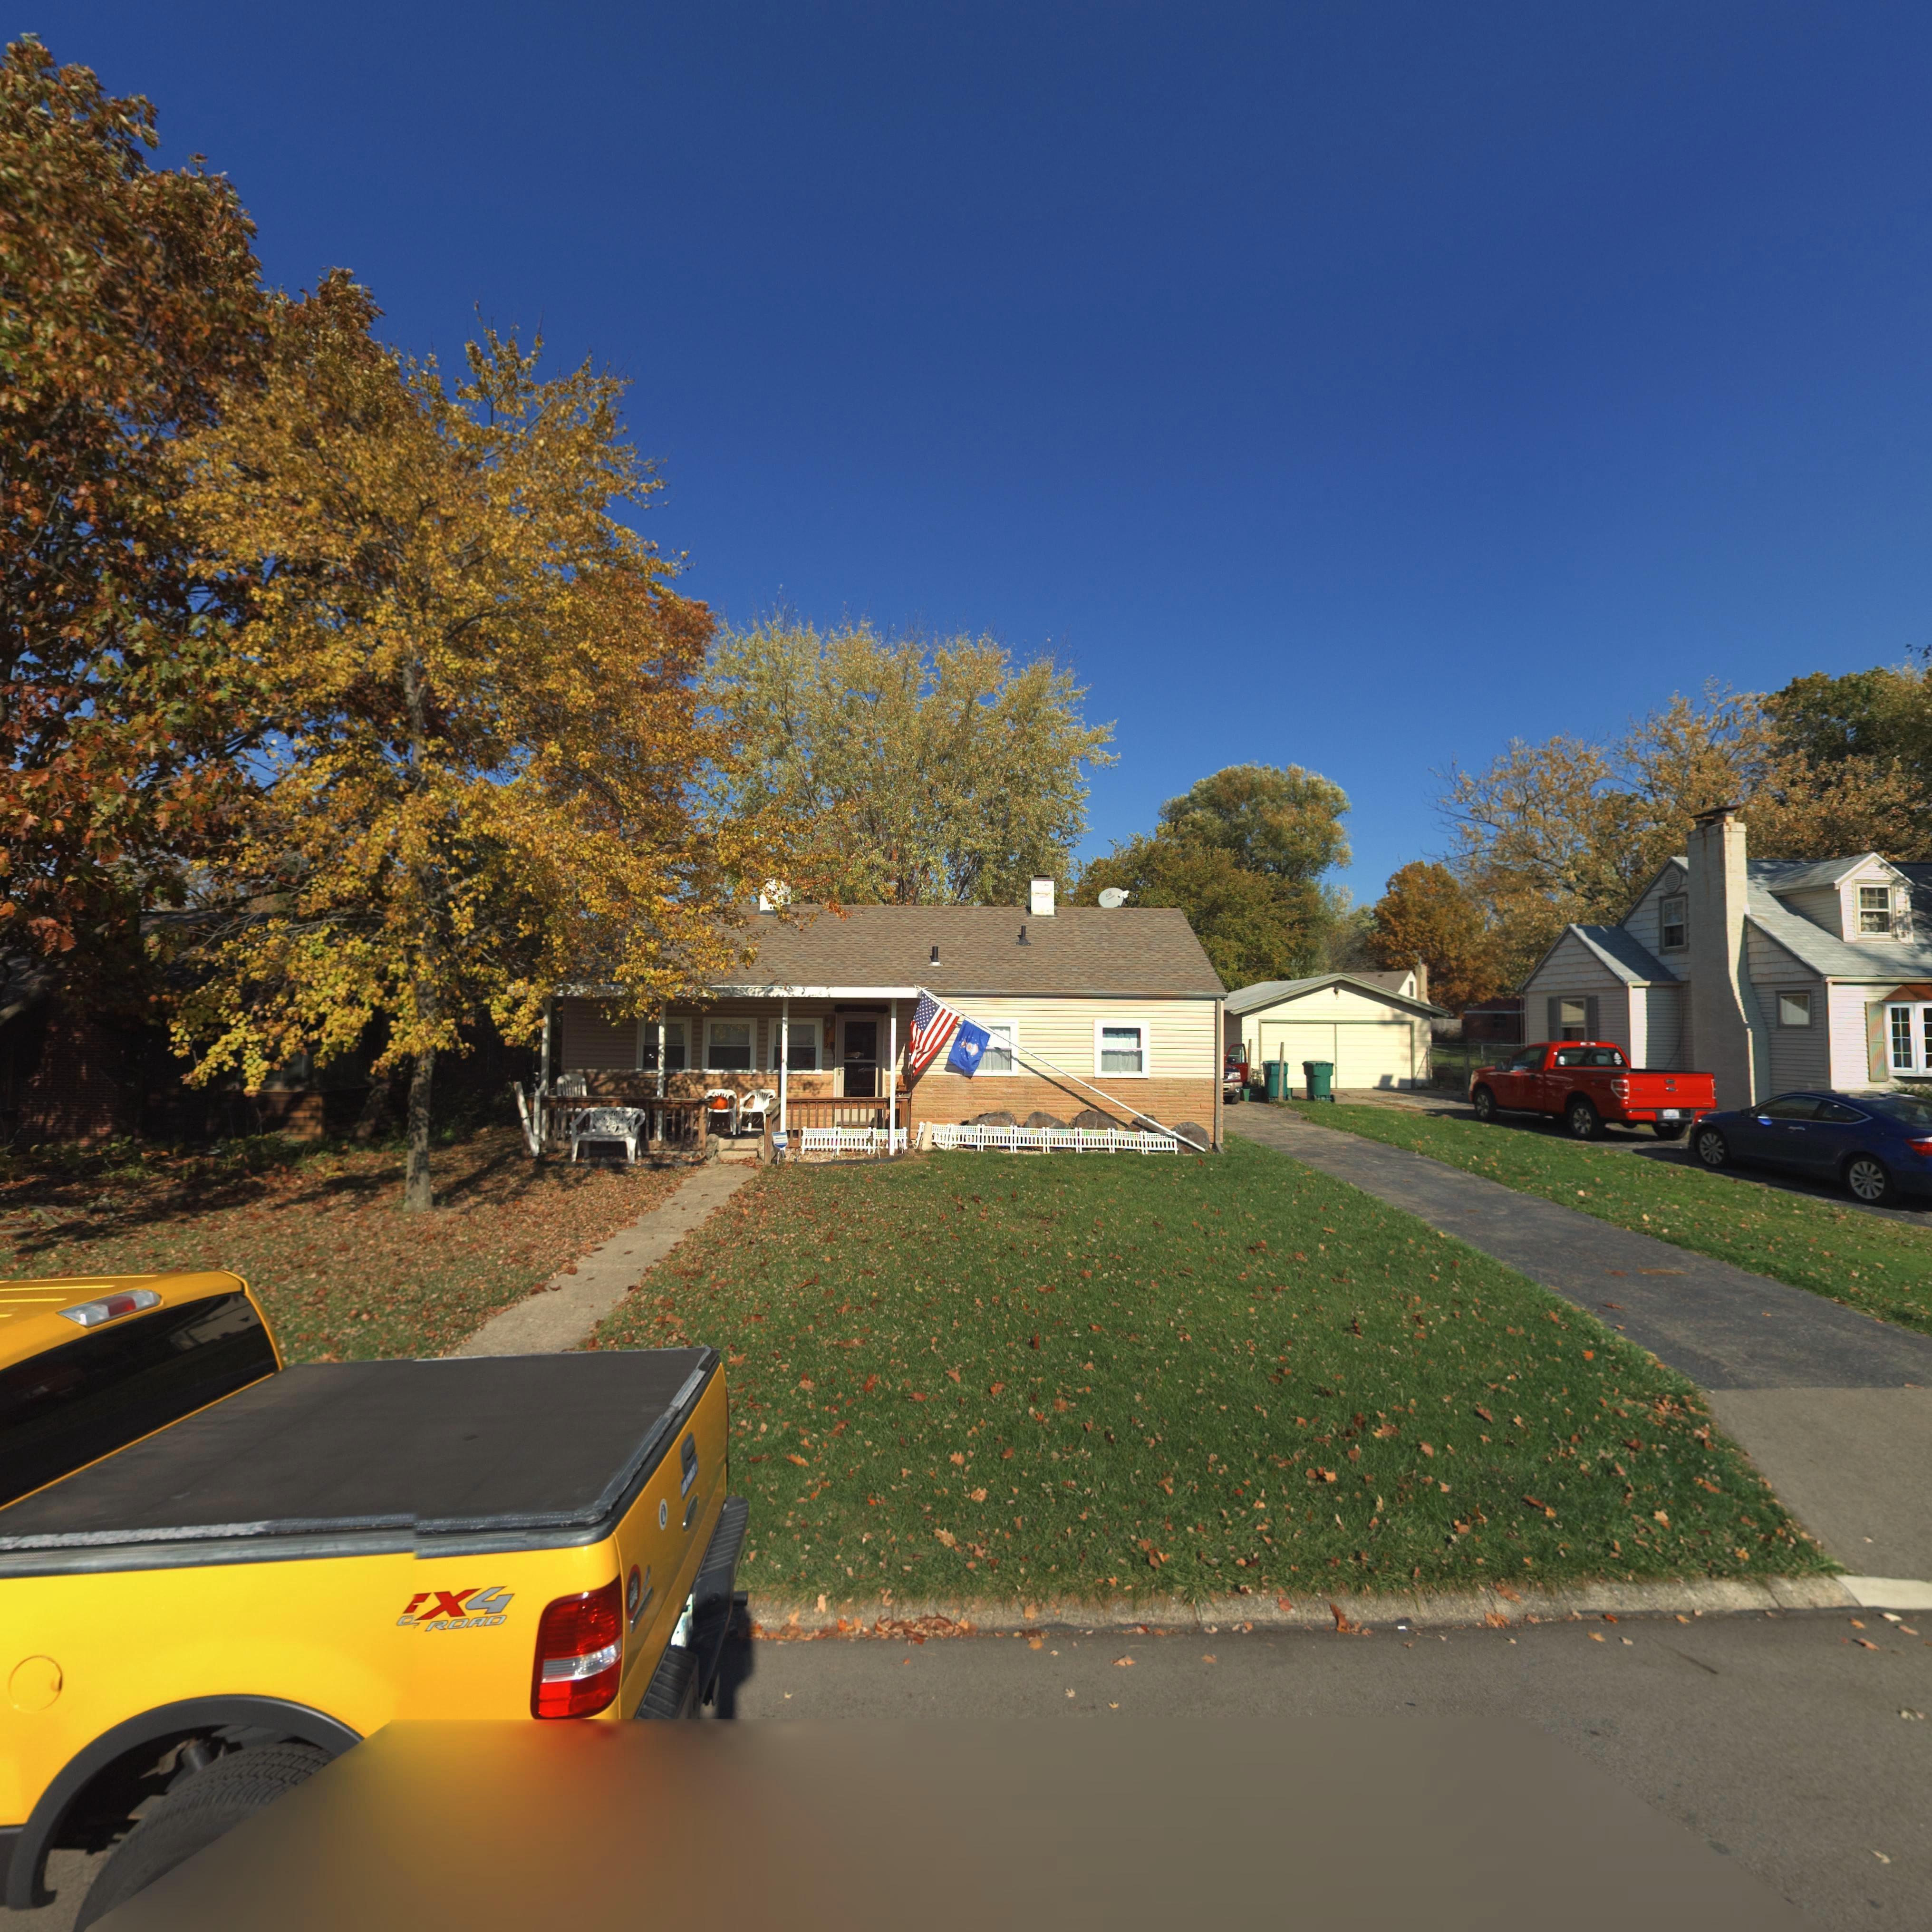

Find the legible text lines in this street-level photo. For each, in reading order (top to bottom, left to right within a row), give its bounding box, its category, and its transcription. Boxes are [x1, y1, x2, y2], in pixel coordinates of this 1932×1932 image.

[824, 1031, 830, 1048] StreetNumber: 812